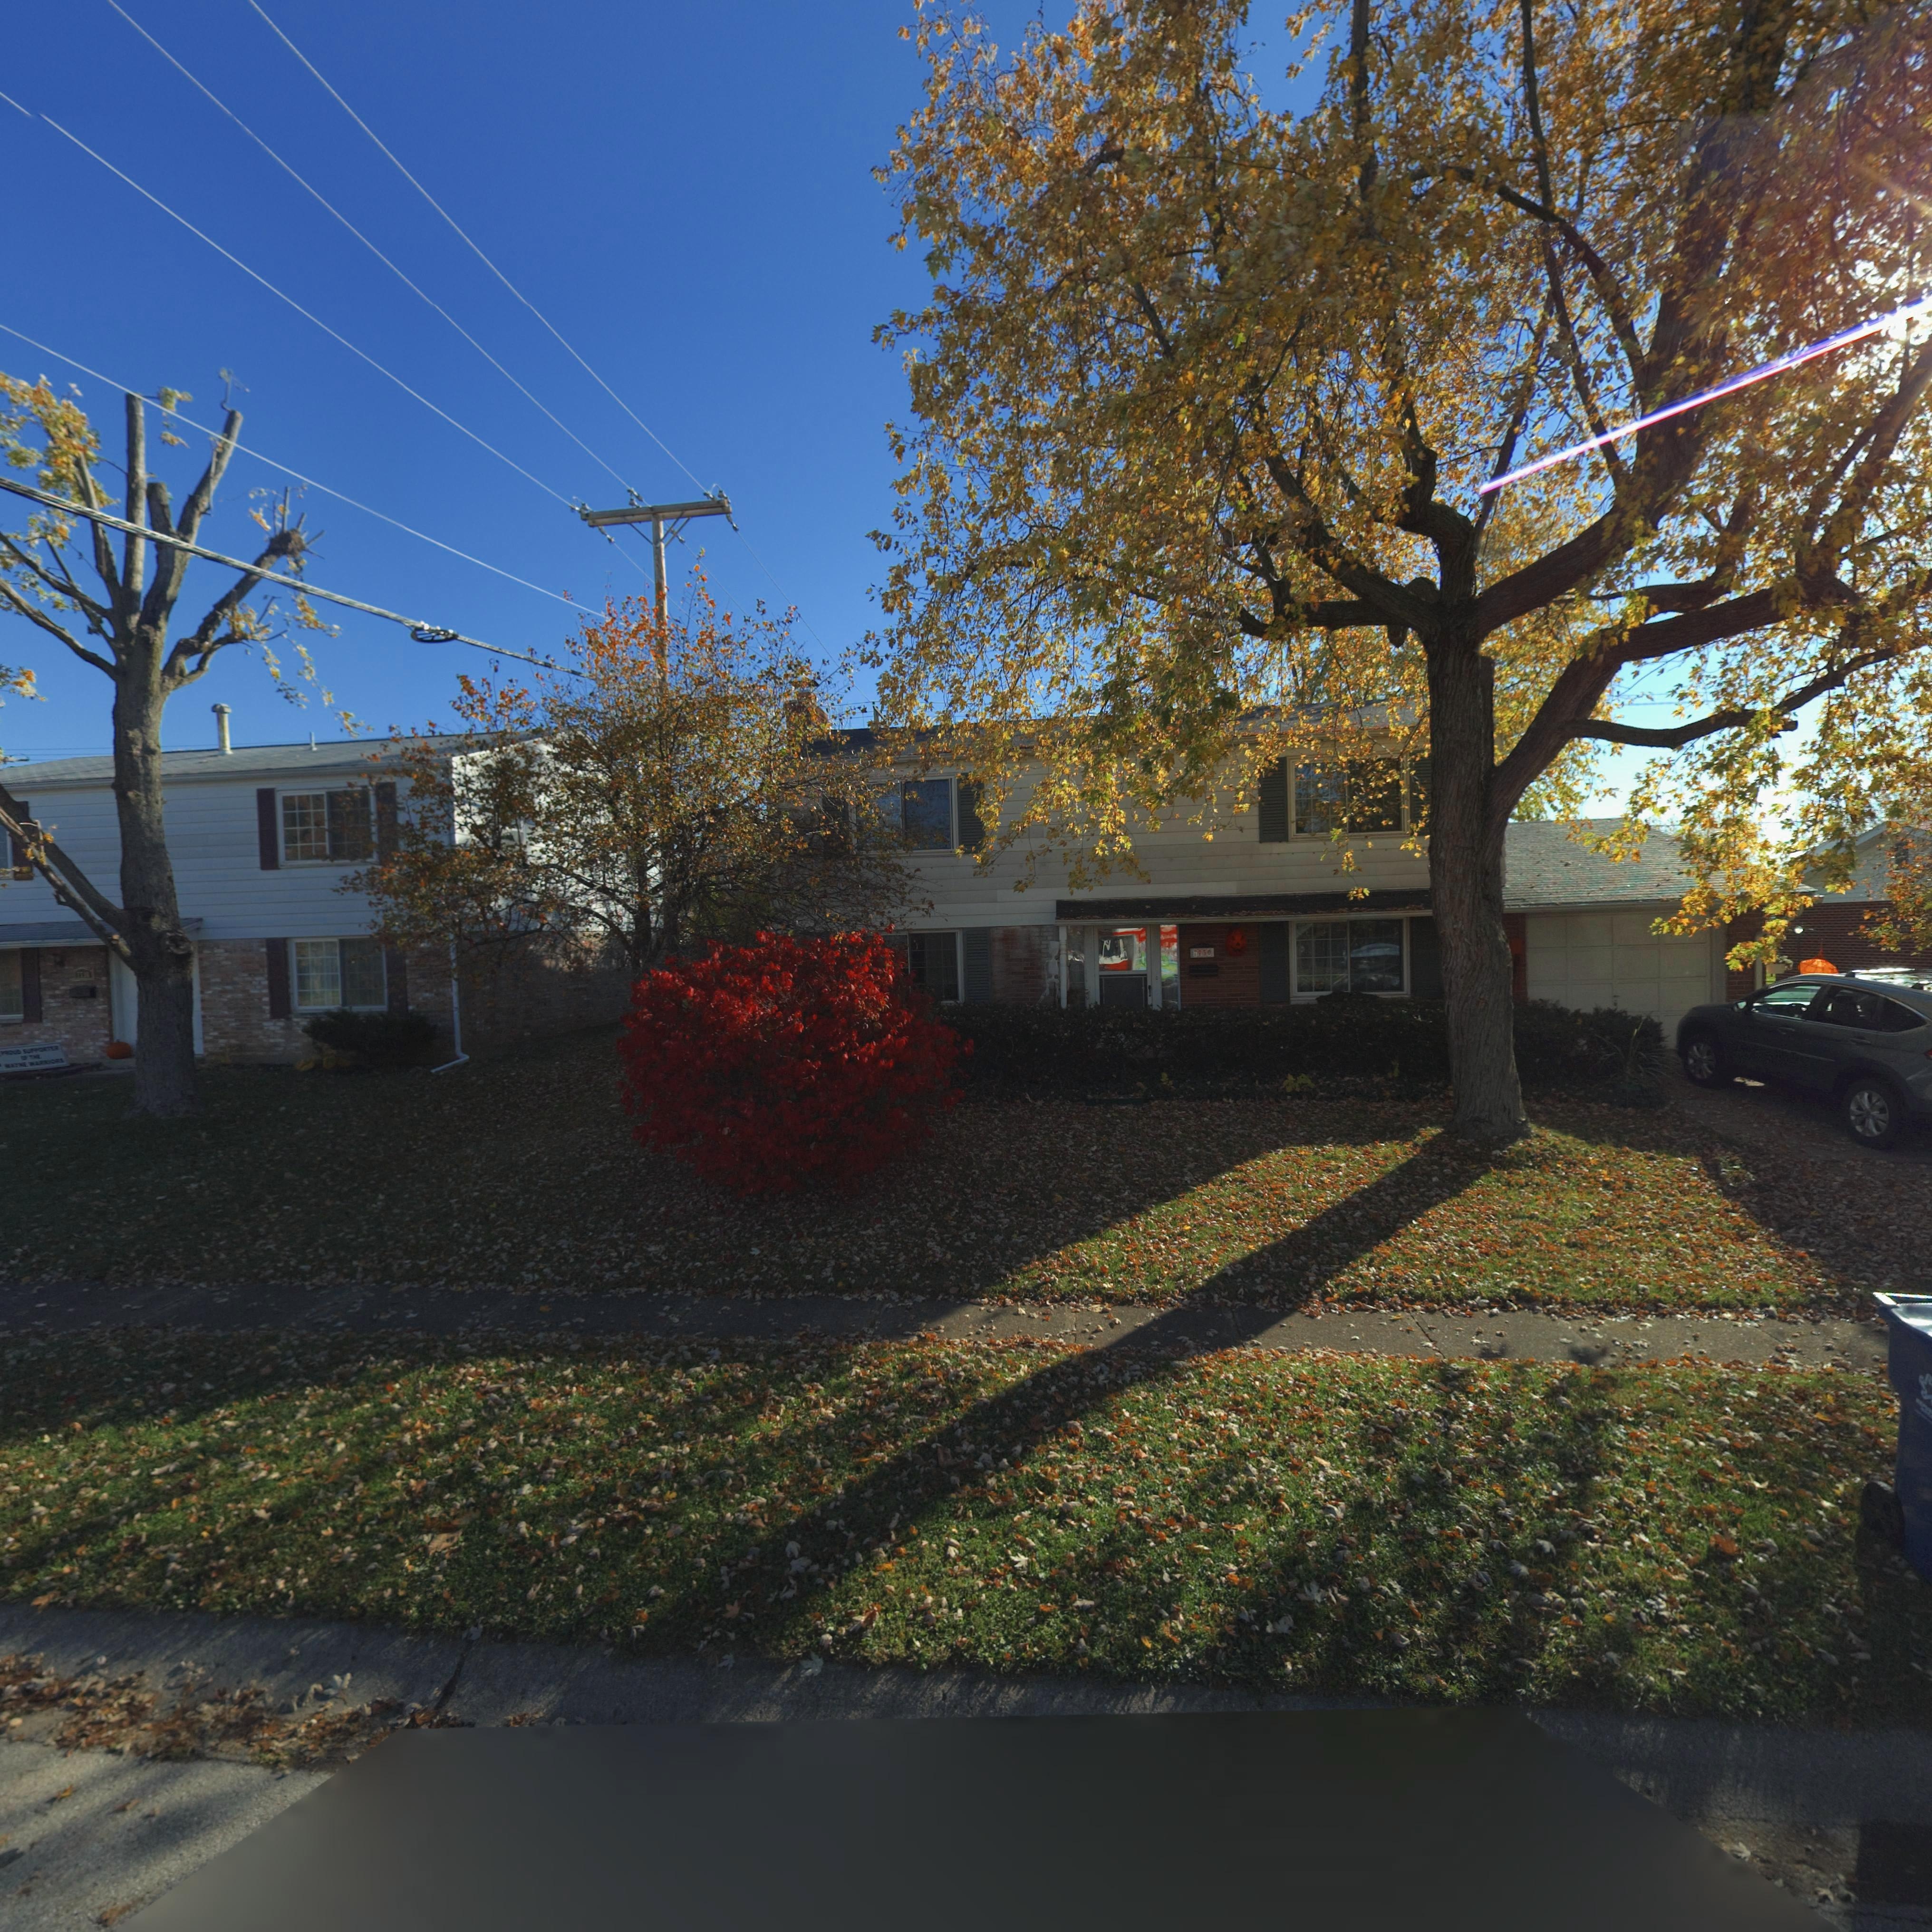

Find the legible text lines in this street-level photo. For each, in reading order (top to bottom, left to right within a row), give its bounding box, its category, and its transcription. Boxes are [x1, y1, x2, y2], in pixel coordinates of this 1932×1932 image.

[1193, 948, 1212, 957] StreetNumber: 77*0